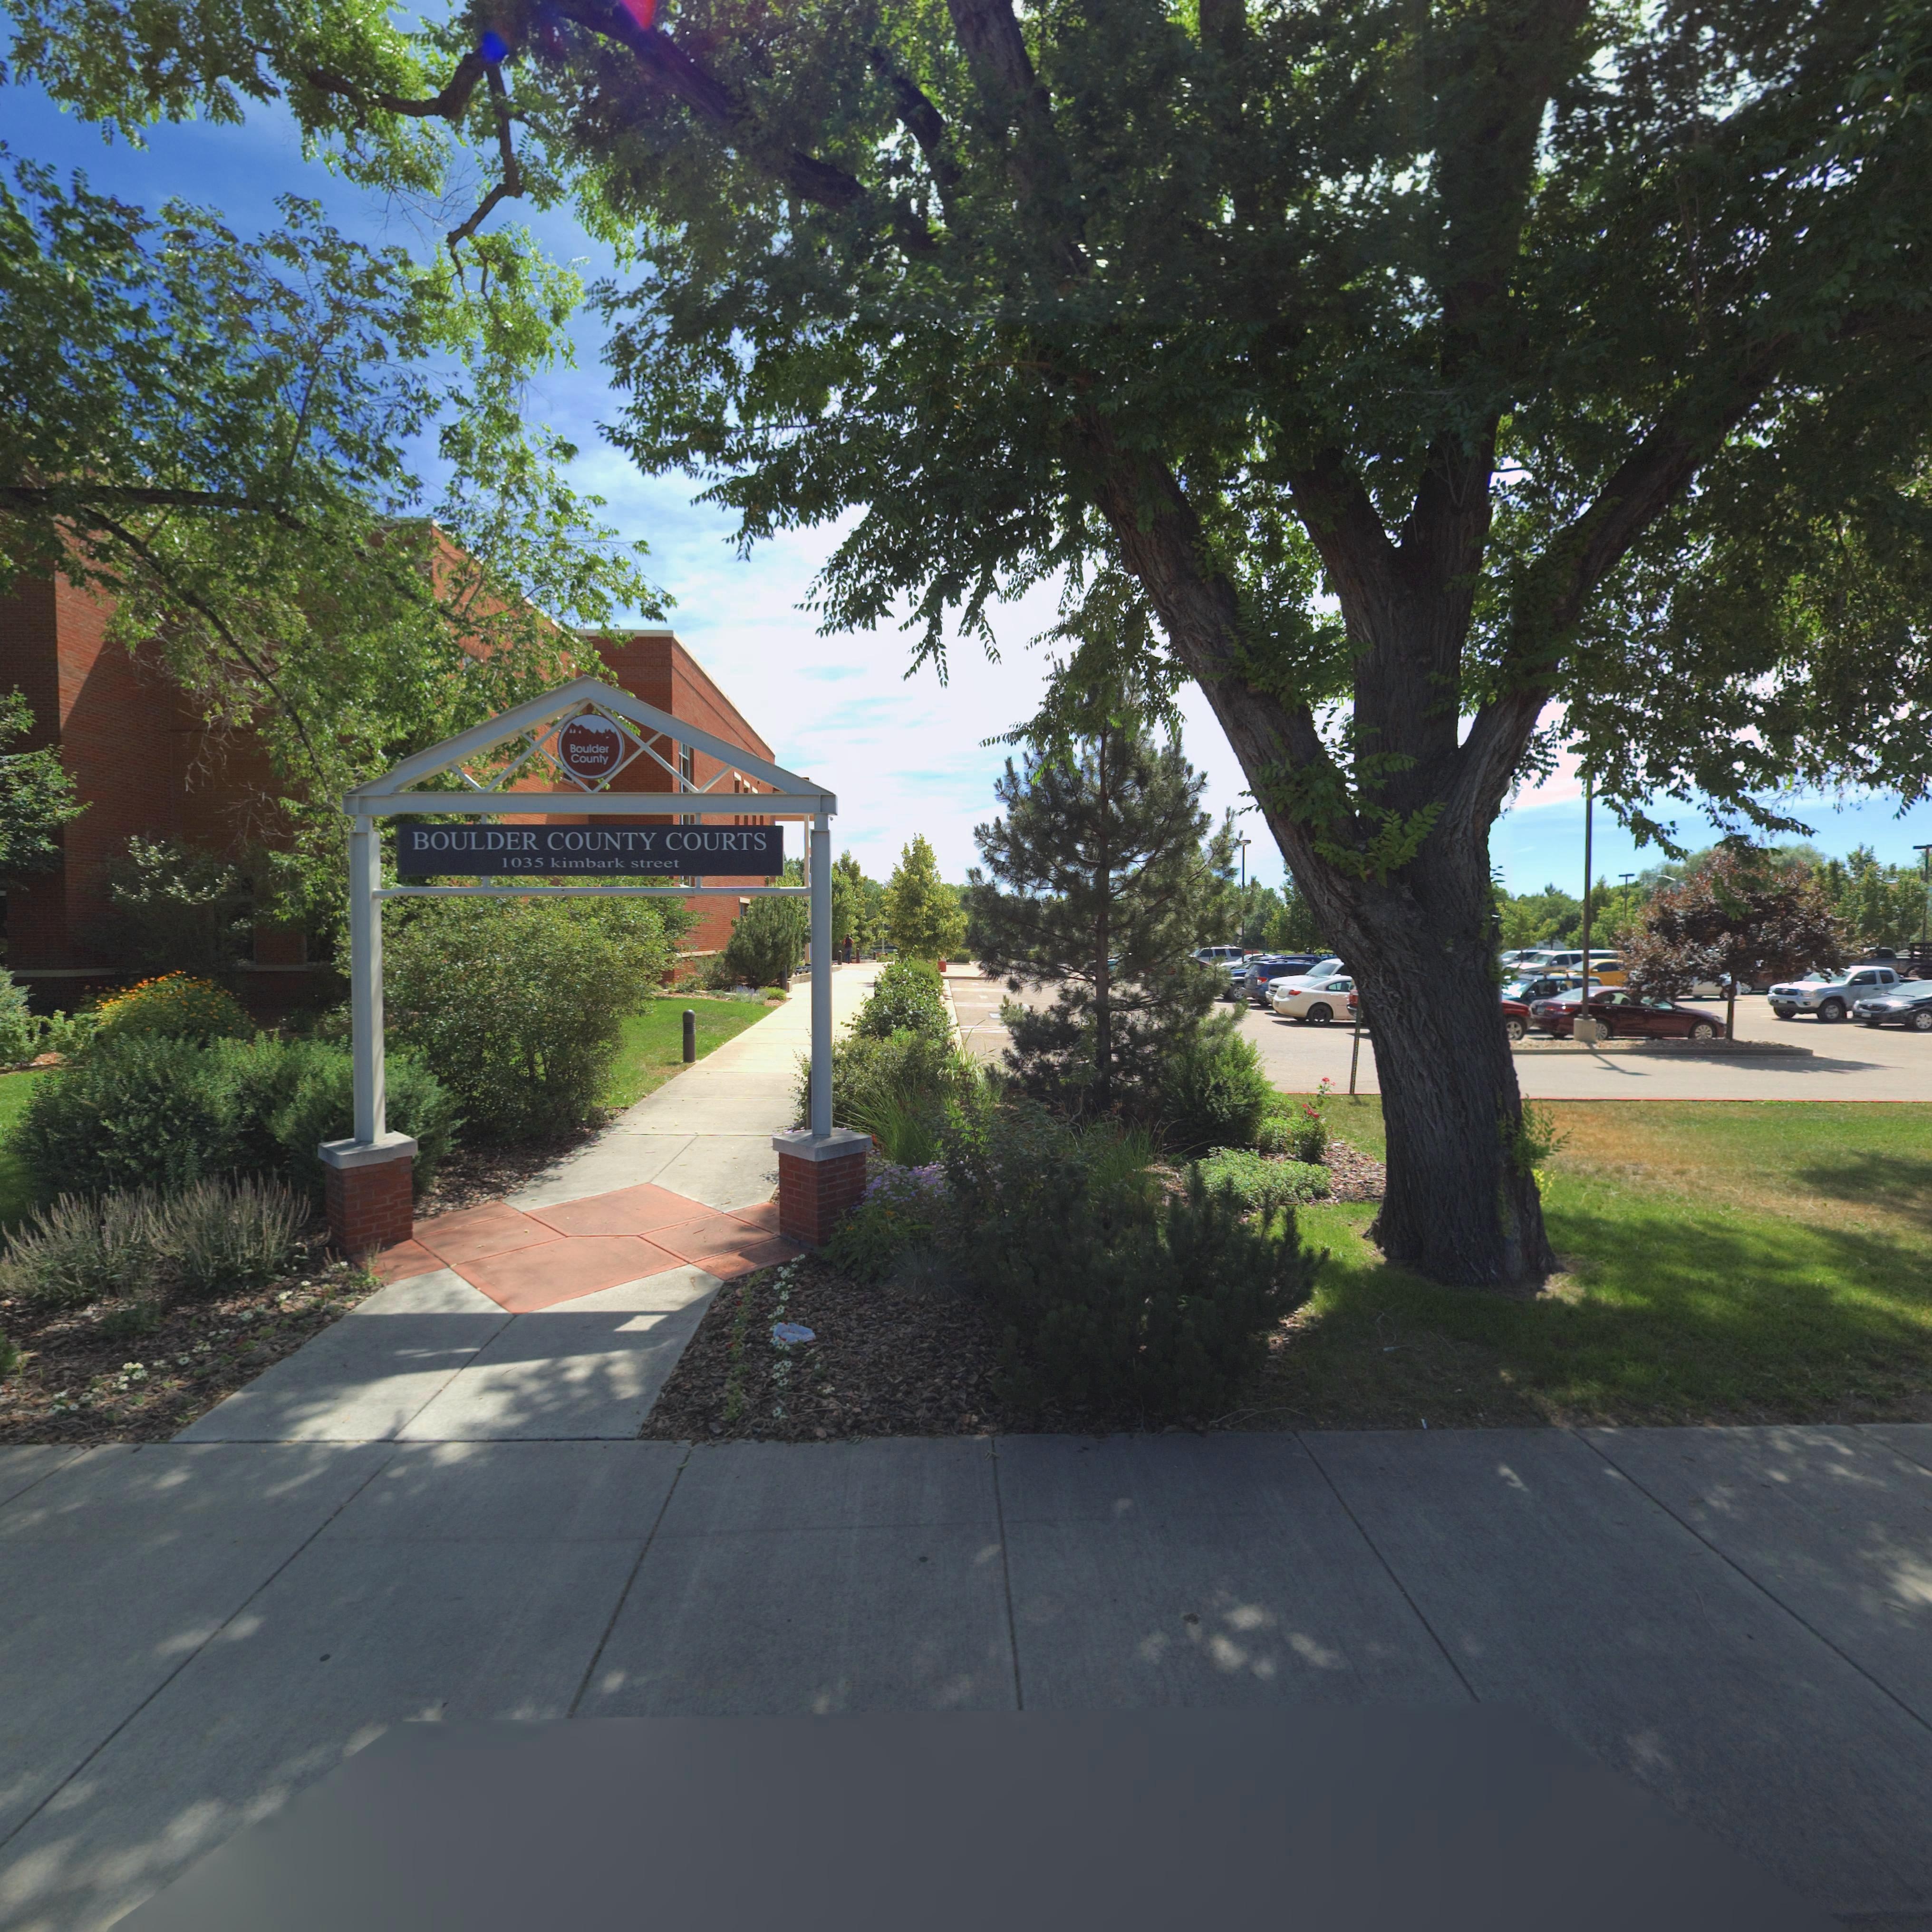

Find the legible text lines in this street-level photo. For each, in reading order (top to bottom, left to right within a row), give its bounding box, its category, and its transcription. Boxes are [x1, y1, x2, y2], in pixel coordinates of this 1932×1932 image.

[410, 831, 768, 850] BusinessName: BOULDER COUNTY COURTS
[502, 856, 544, 868] StreetNumber: 1035
[550, 856, 680, 868] StreetName: kimbark street